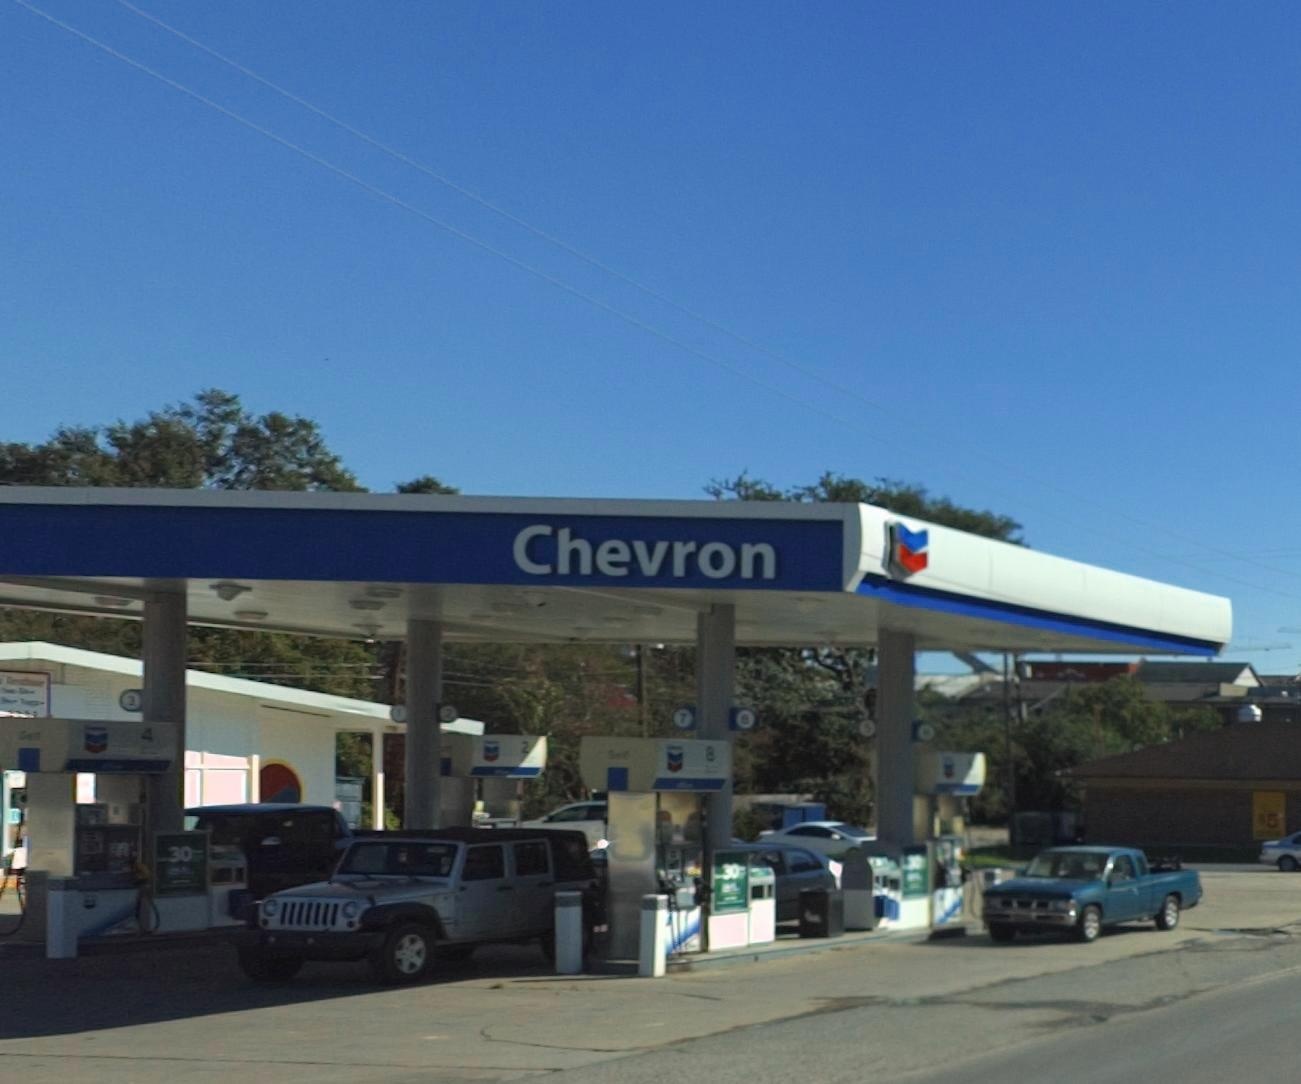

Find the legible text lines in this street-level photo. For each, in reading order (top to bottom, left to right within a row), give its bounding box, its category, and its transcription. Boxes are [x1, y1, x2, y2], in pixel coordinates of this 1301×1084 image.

[511, 523, 778, 580] BusinessName: Chevron
[126, 694, 137, 708] None: 3
[394, 707, 404, 720] None: 1
[443, 708, 455, 720] None: 2
[678, 711, 688, 725] None: 7
[740, 712, 750, 726] None: 8
[140, 725, 154, 745] None: 4
[862, 722, 873, 735] None: 5
[520, 740, 532, 755] None: 2
[705, 744, 718, 763] None: 8
[1266, 812, 1280, 830] None: 5
[168, 844, 193, 863] None: 30
[721, 862, 741, 881] None: 30